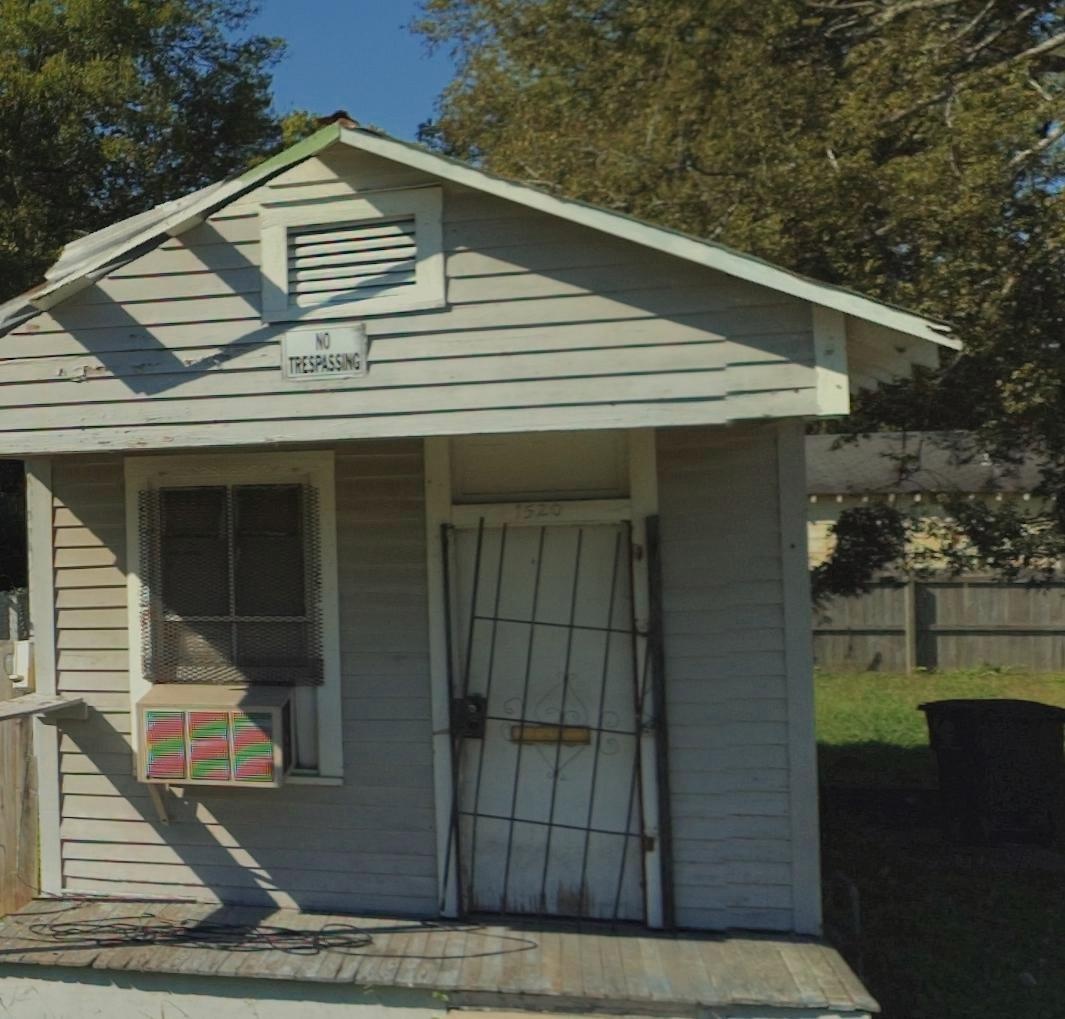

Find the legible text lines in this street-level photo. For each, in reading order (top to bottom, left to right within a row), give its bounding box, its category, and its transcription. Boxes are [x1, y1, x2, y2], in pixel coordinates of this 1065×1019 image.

[313, 331, 332, 352] None: NO
[286, 350, 362, 376] None: TRESPASSING
[512, 500, 563, 519] StreetNumber: 1520